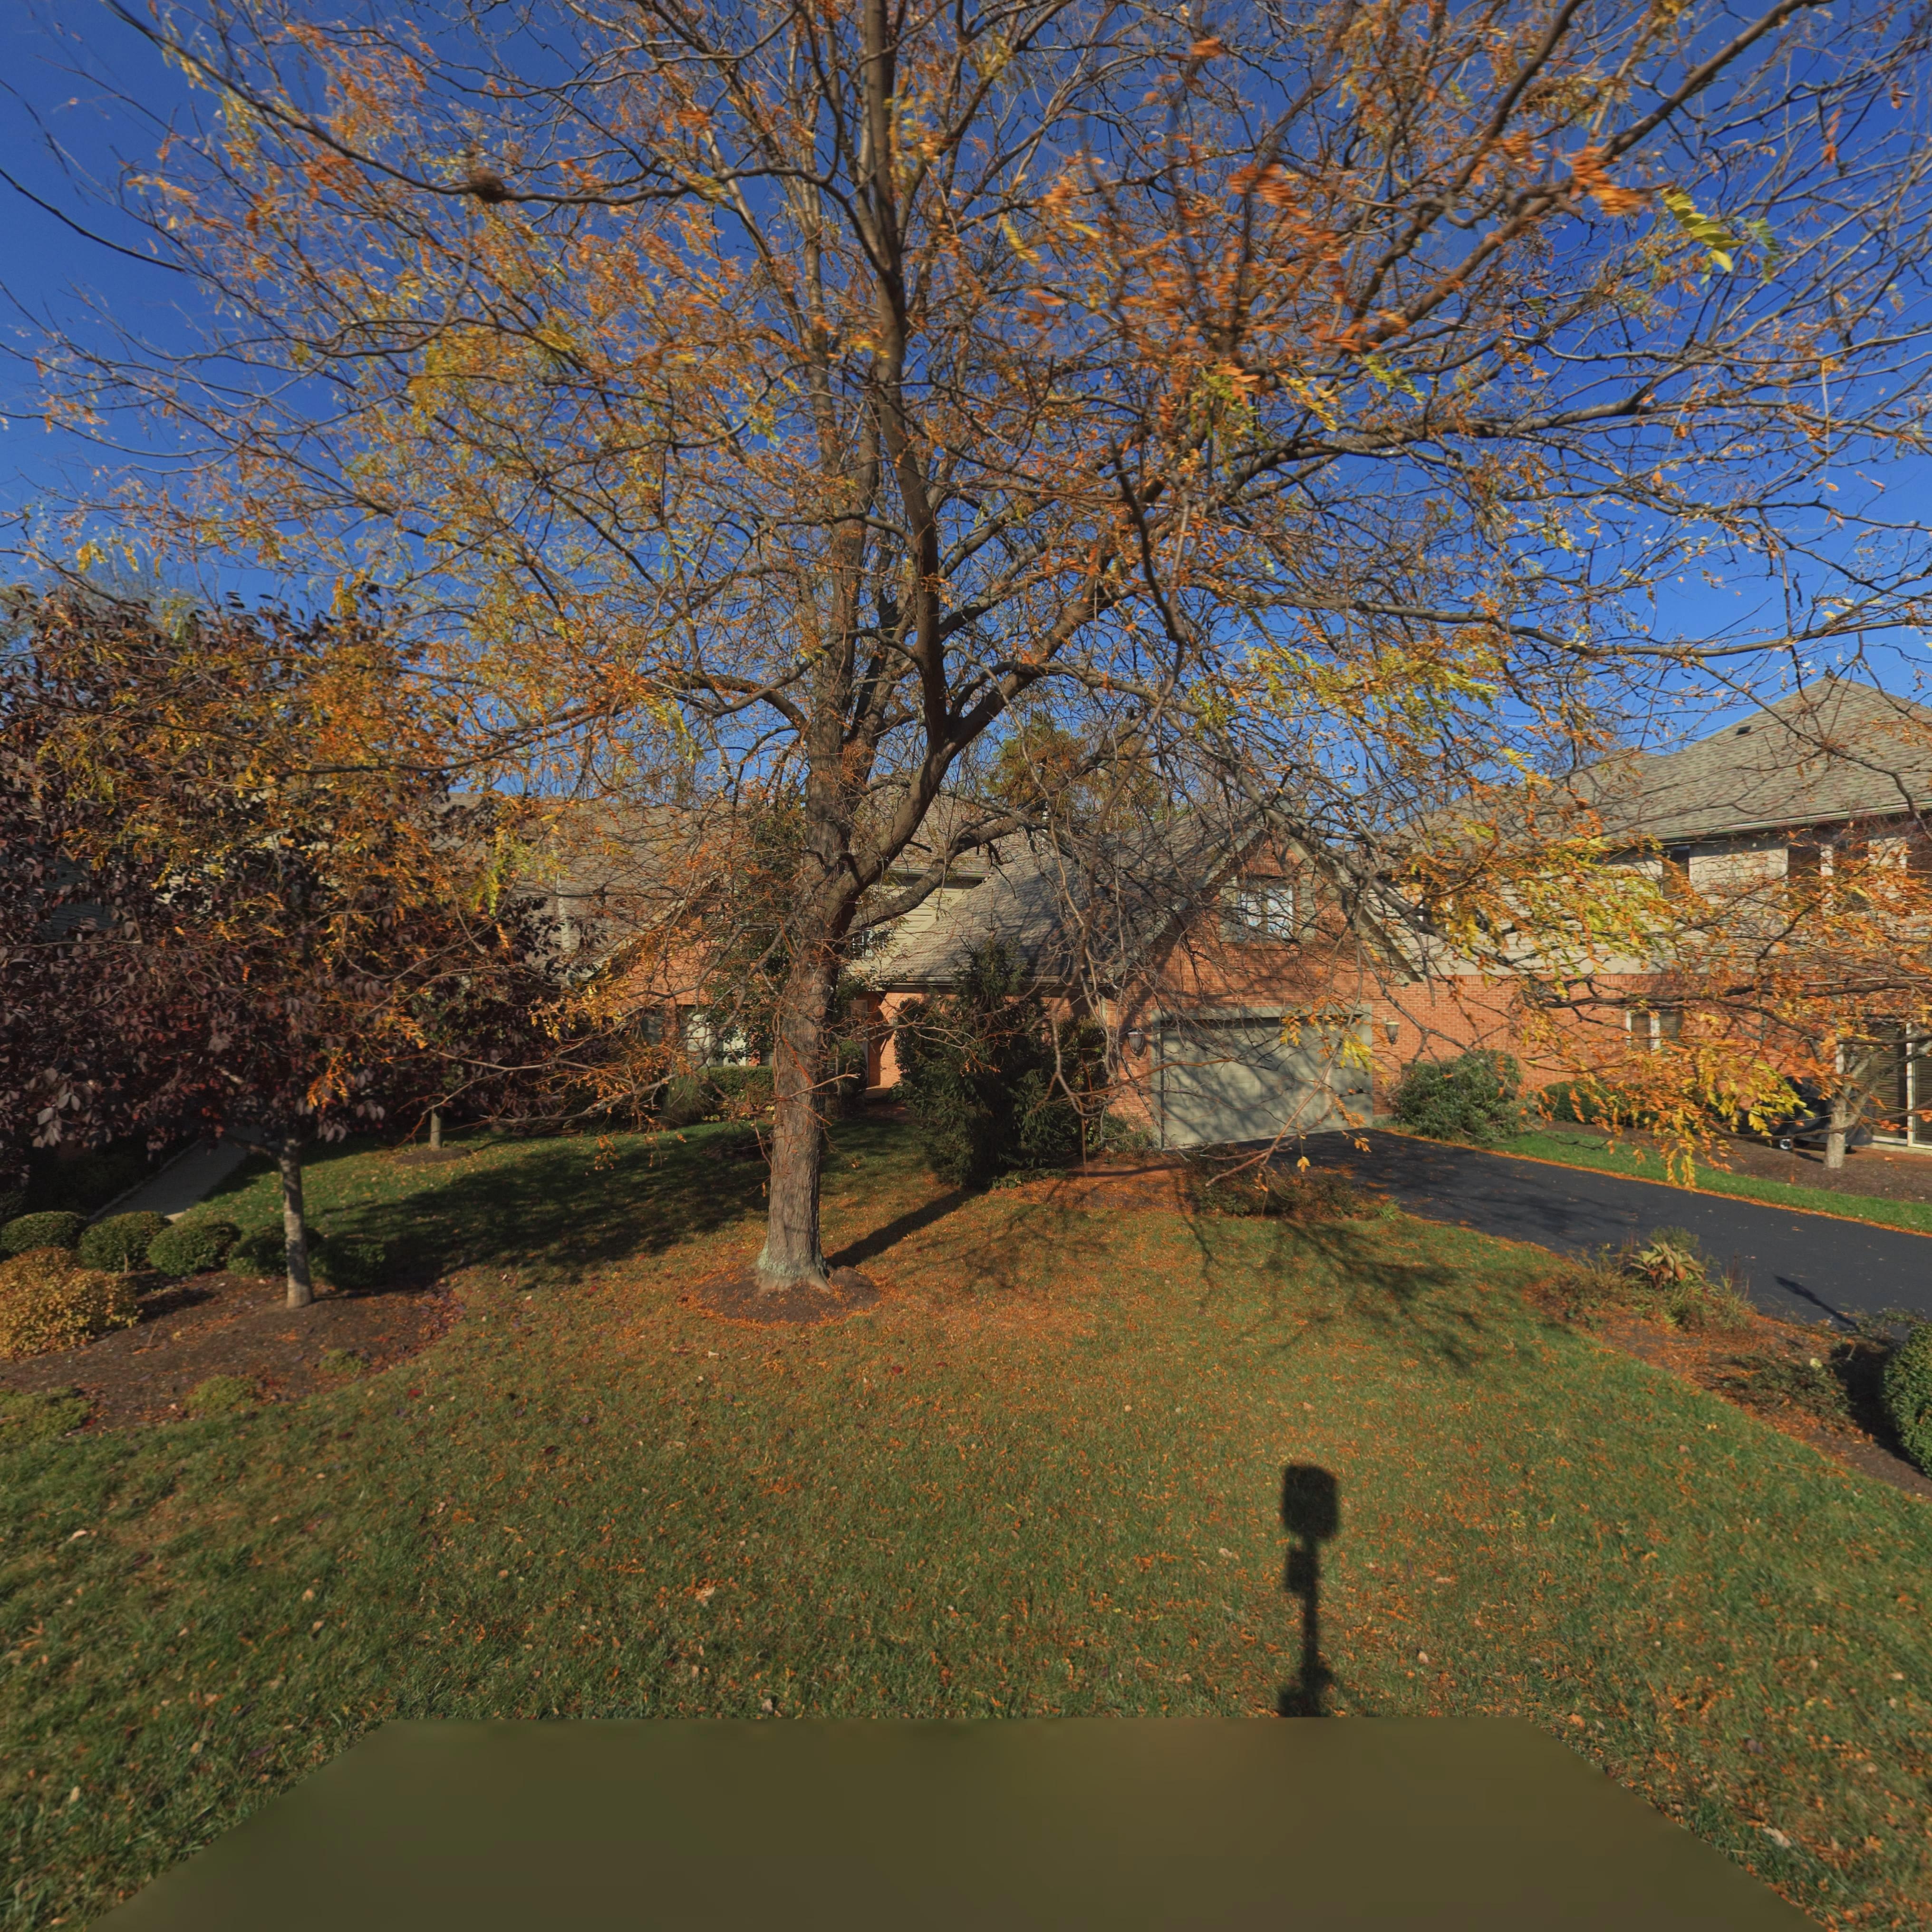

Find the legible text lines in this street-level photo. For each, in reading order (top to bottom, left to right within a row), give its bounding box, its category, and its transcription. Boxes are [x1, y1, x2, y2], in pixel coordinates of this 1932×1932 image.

[1153, 1038, 1159, 1066] StreetNumber: 813